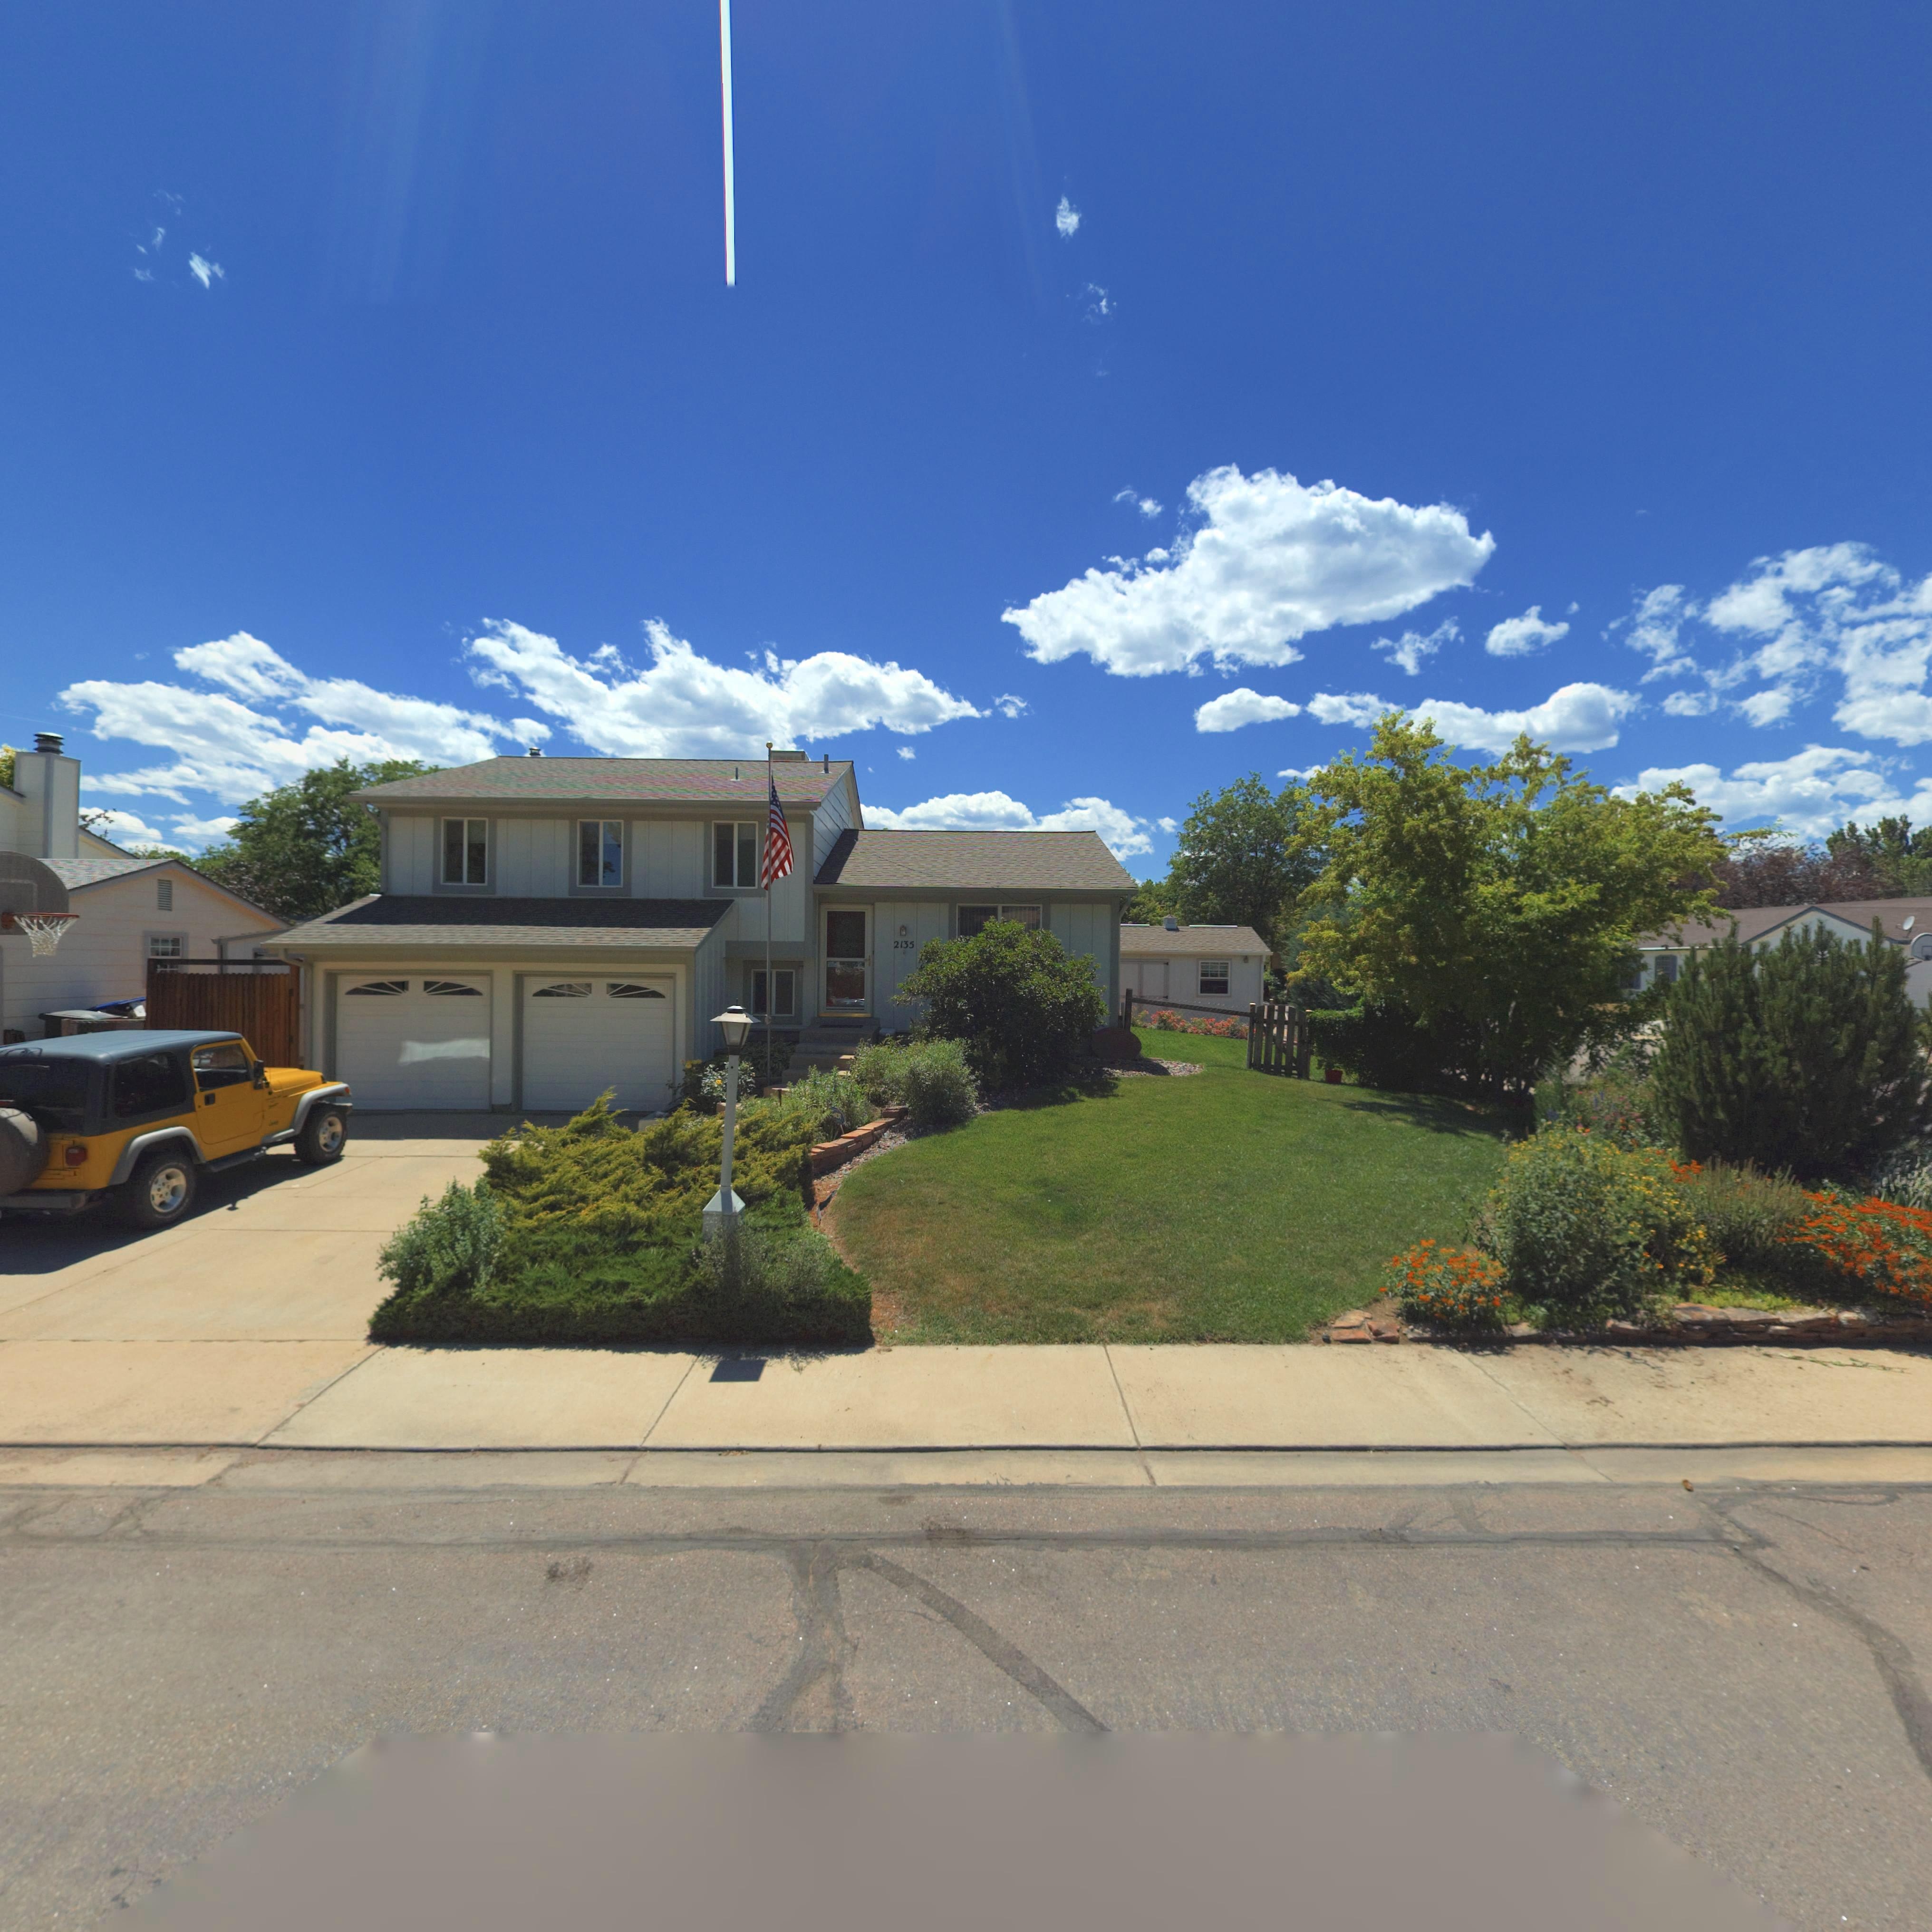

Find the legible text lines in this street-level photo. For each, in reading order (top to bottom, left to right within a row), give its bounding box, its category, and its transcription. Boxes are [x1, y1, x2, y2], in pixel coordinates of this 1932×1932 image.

[893, 940, 914, 949] StreetNumber: 2135